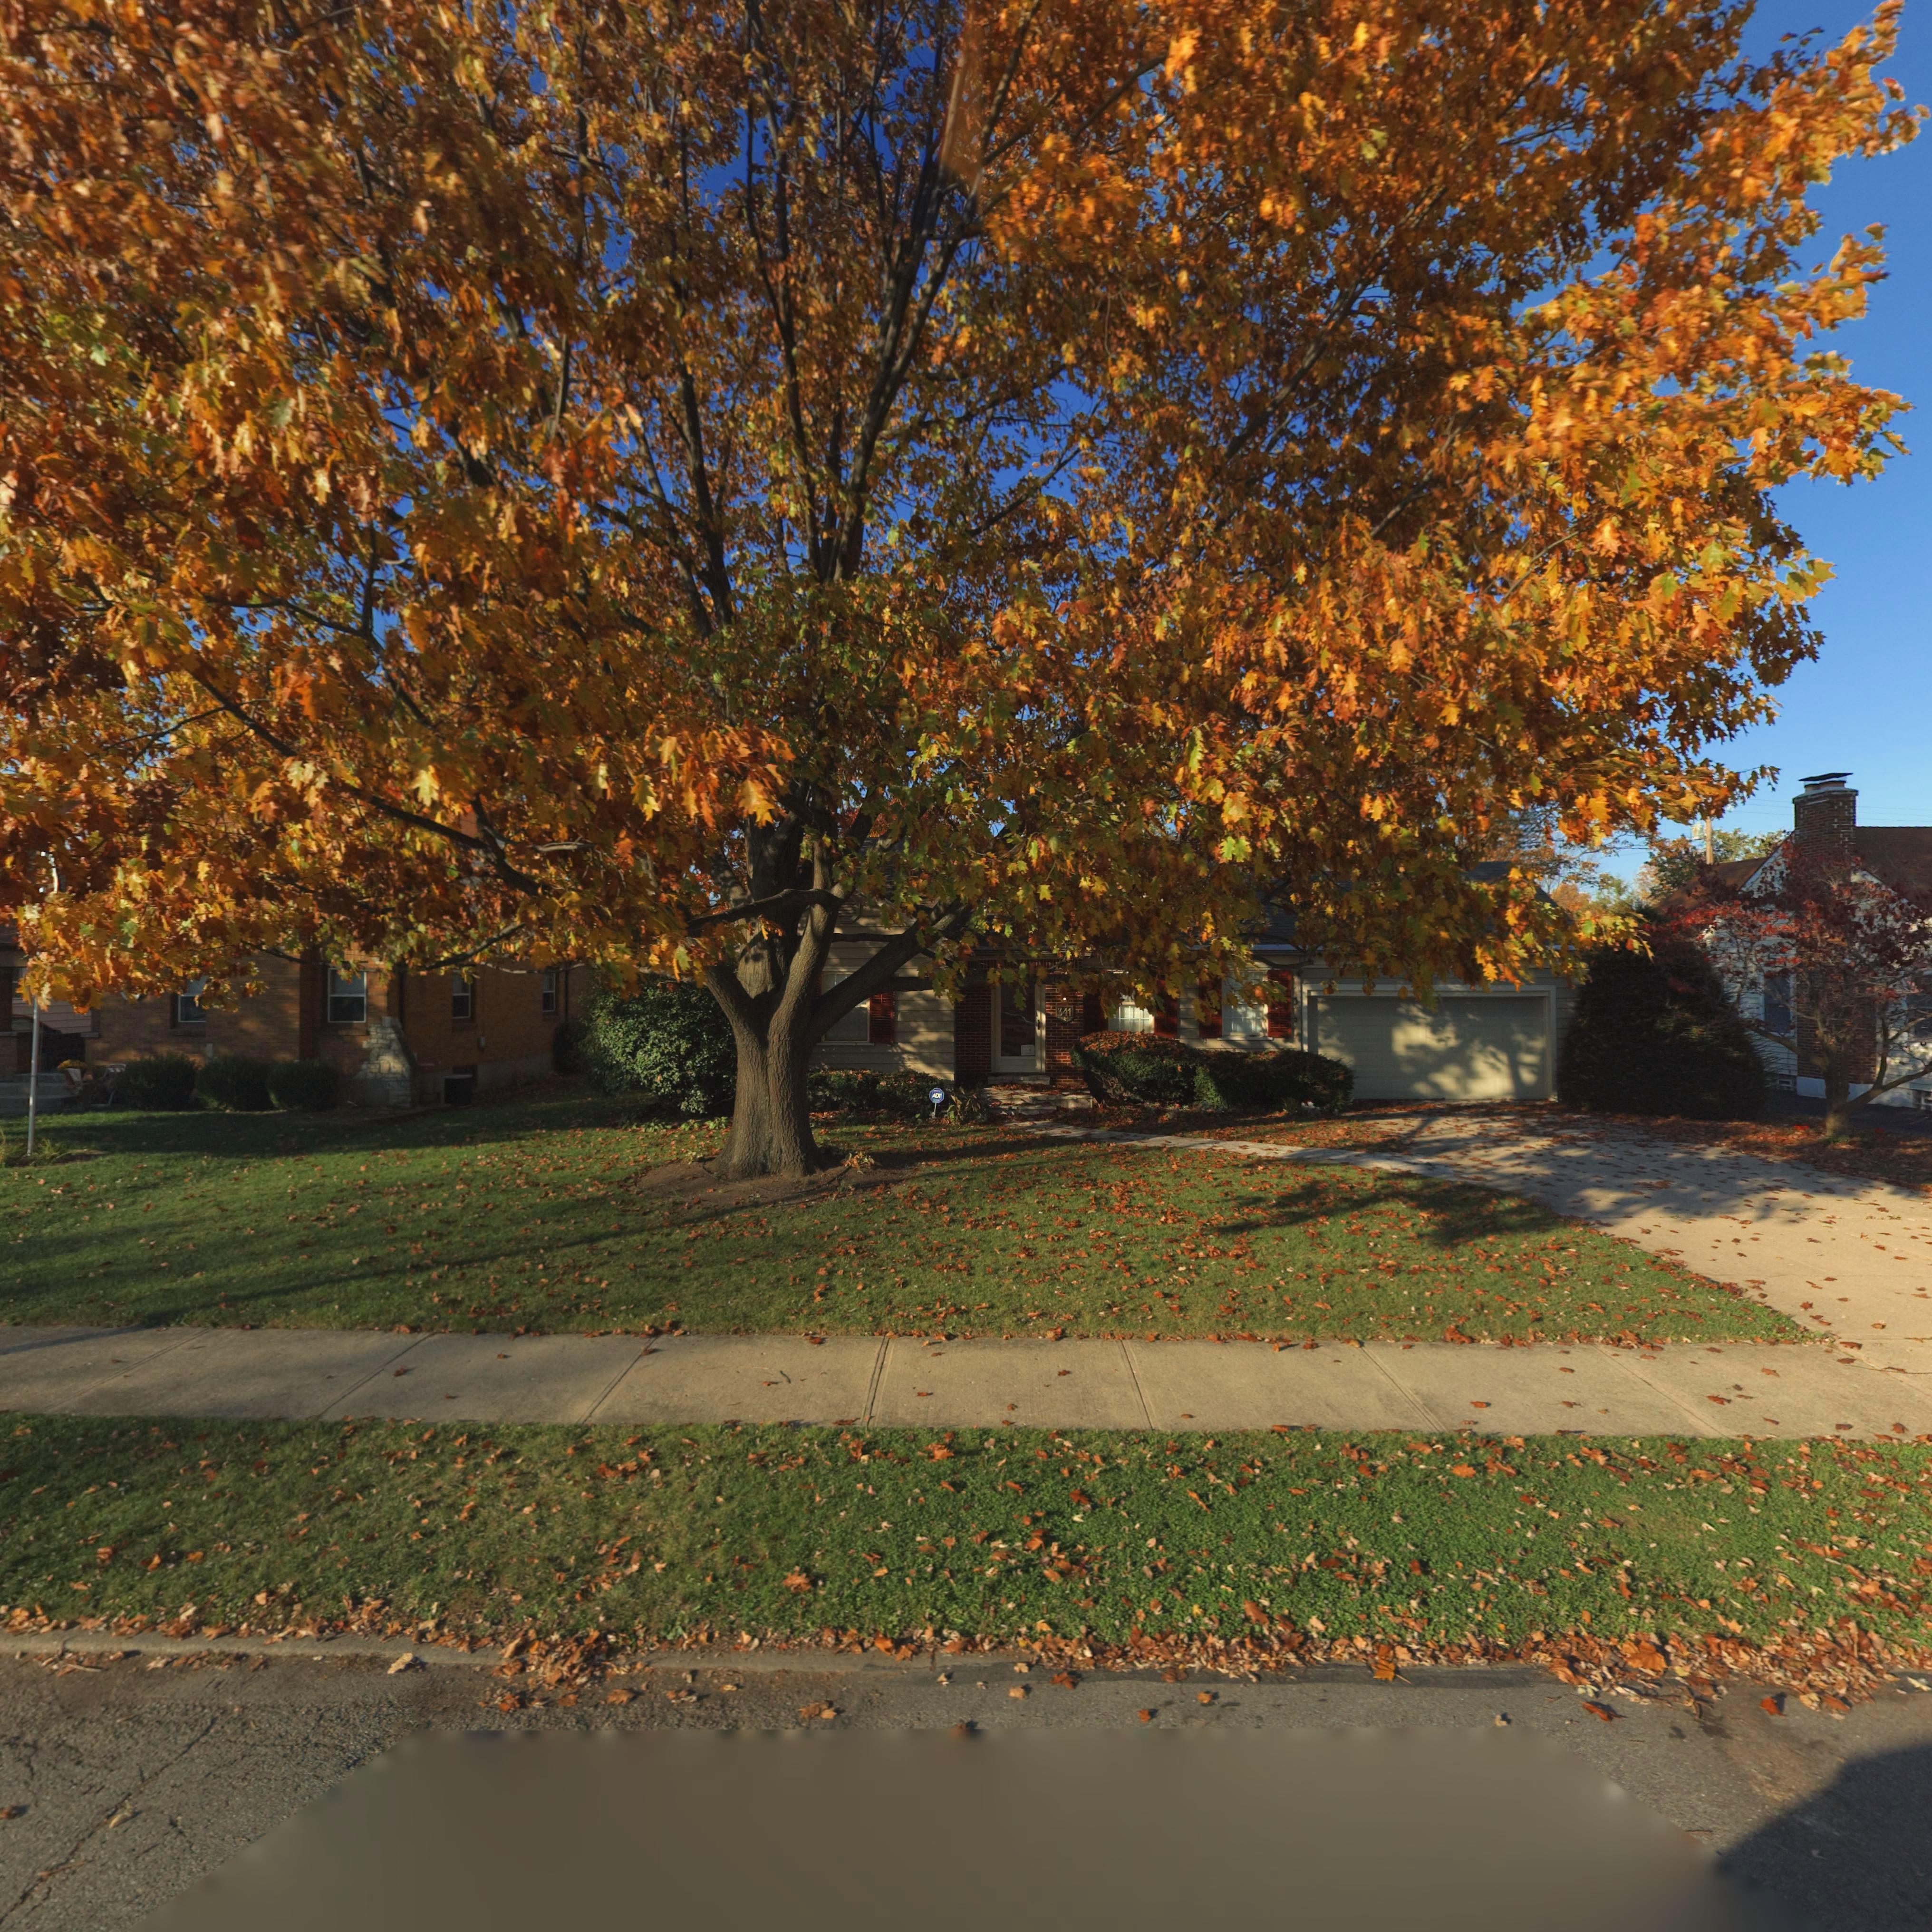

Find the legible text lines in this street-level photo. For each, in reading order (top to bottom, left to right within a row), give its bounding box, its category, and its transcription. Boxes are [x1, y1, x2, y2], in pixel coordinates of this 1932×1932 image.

[1057, 1007, 1072, 1017] StreetNumber: 341